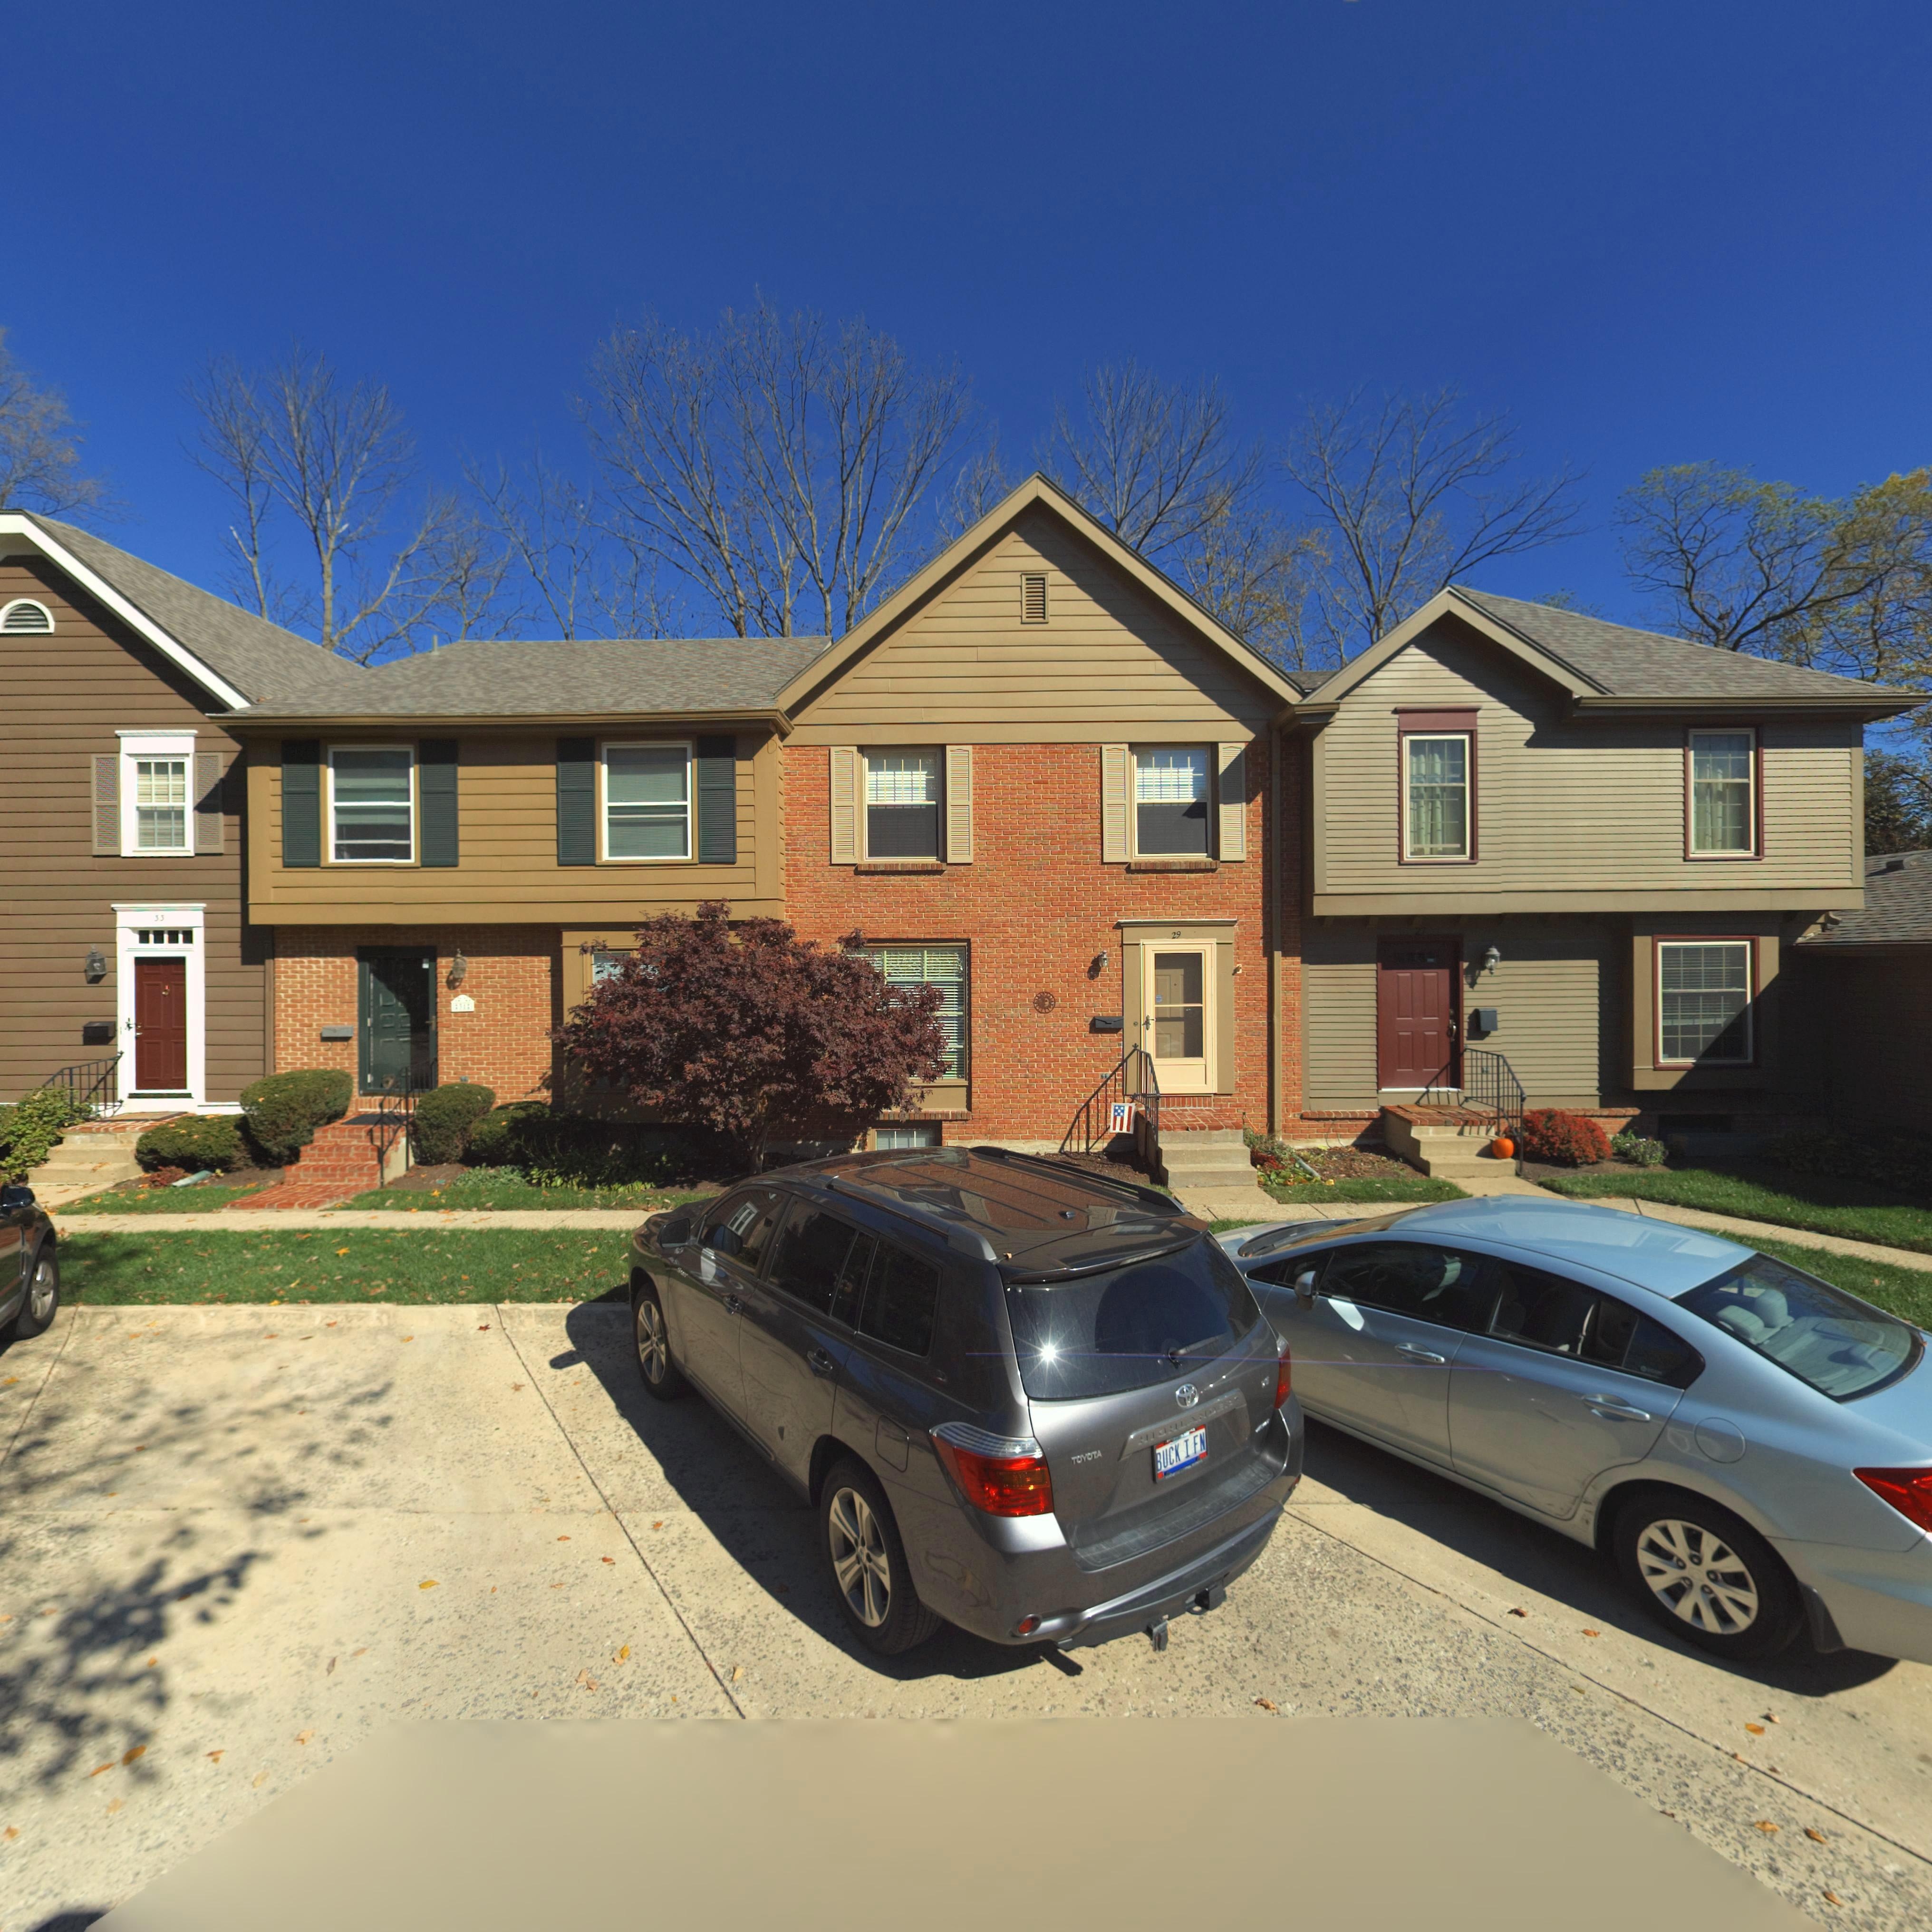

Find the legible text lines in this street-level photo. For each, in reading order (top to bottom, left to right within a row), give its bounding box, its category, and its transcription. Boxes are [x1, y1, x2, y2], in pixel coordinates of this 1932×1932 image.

[154, 914, 164, 922] StreetNumber: 33
[1171, 930, 1181, 939] StreetNumber: 29
[1414, 926, 1427, 935] StreetNumber: 27
[458, 1003, 466, 1011] StreetNumber: 31
[1260, 1374, 1270, 1390] None: V*
[1136, 1396, 1236, 1449] None: HIGHLANDER
[1070, 1449, 1103, 1466] None: TOYOTA
[1155, 1430, 1207, 1473] None: BUCK*I*FN